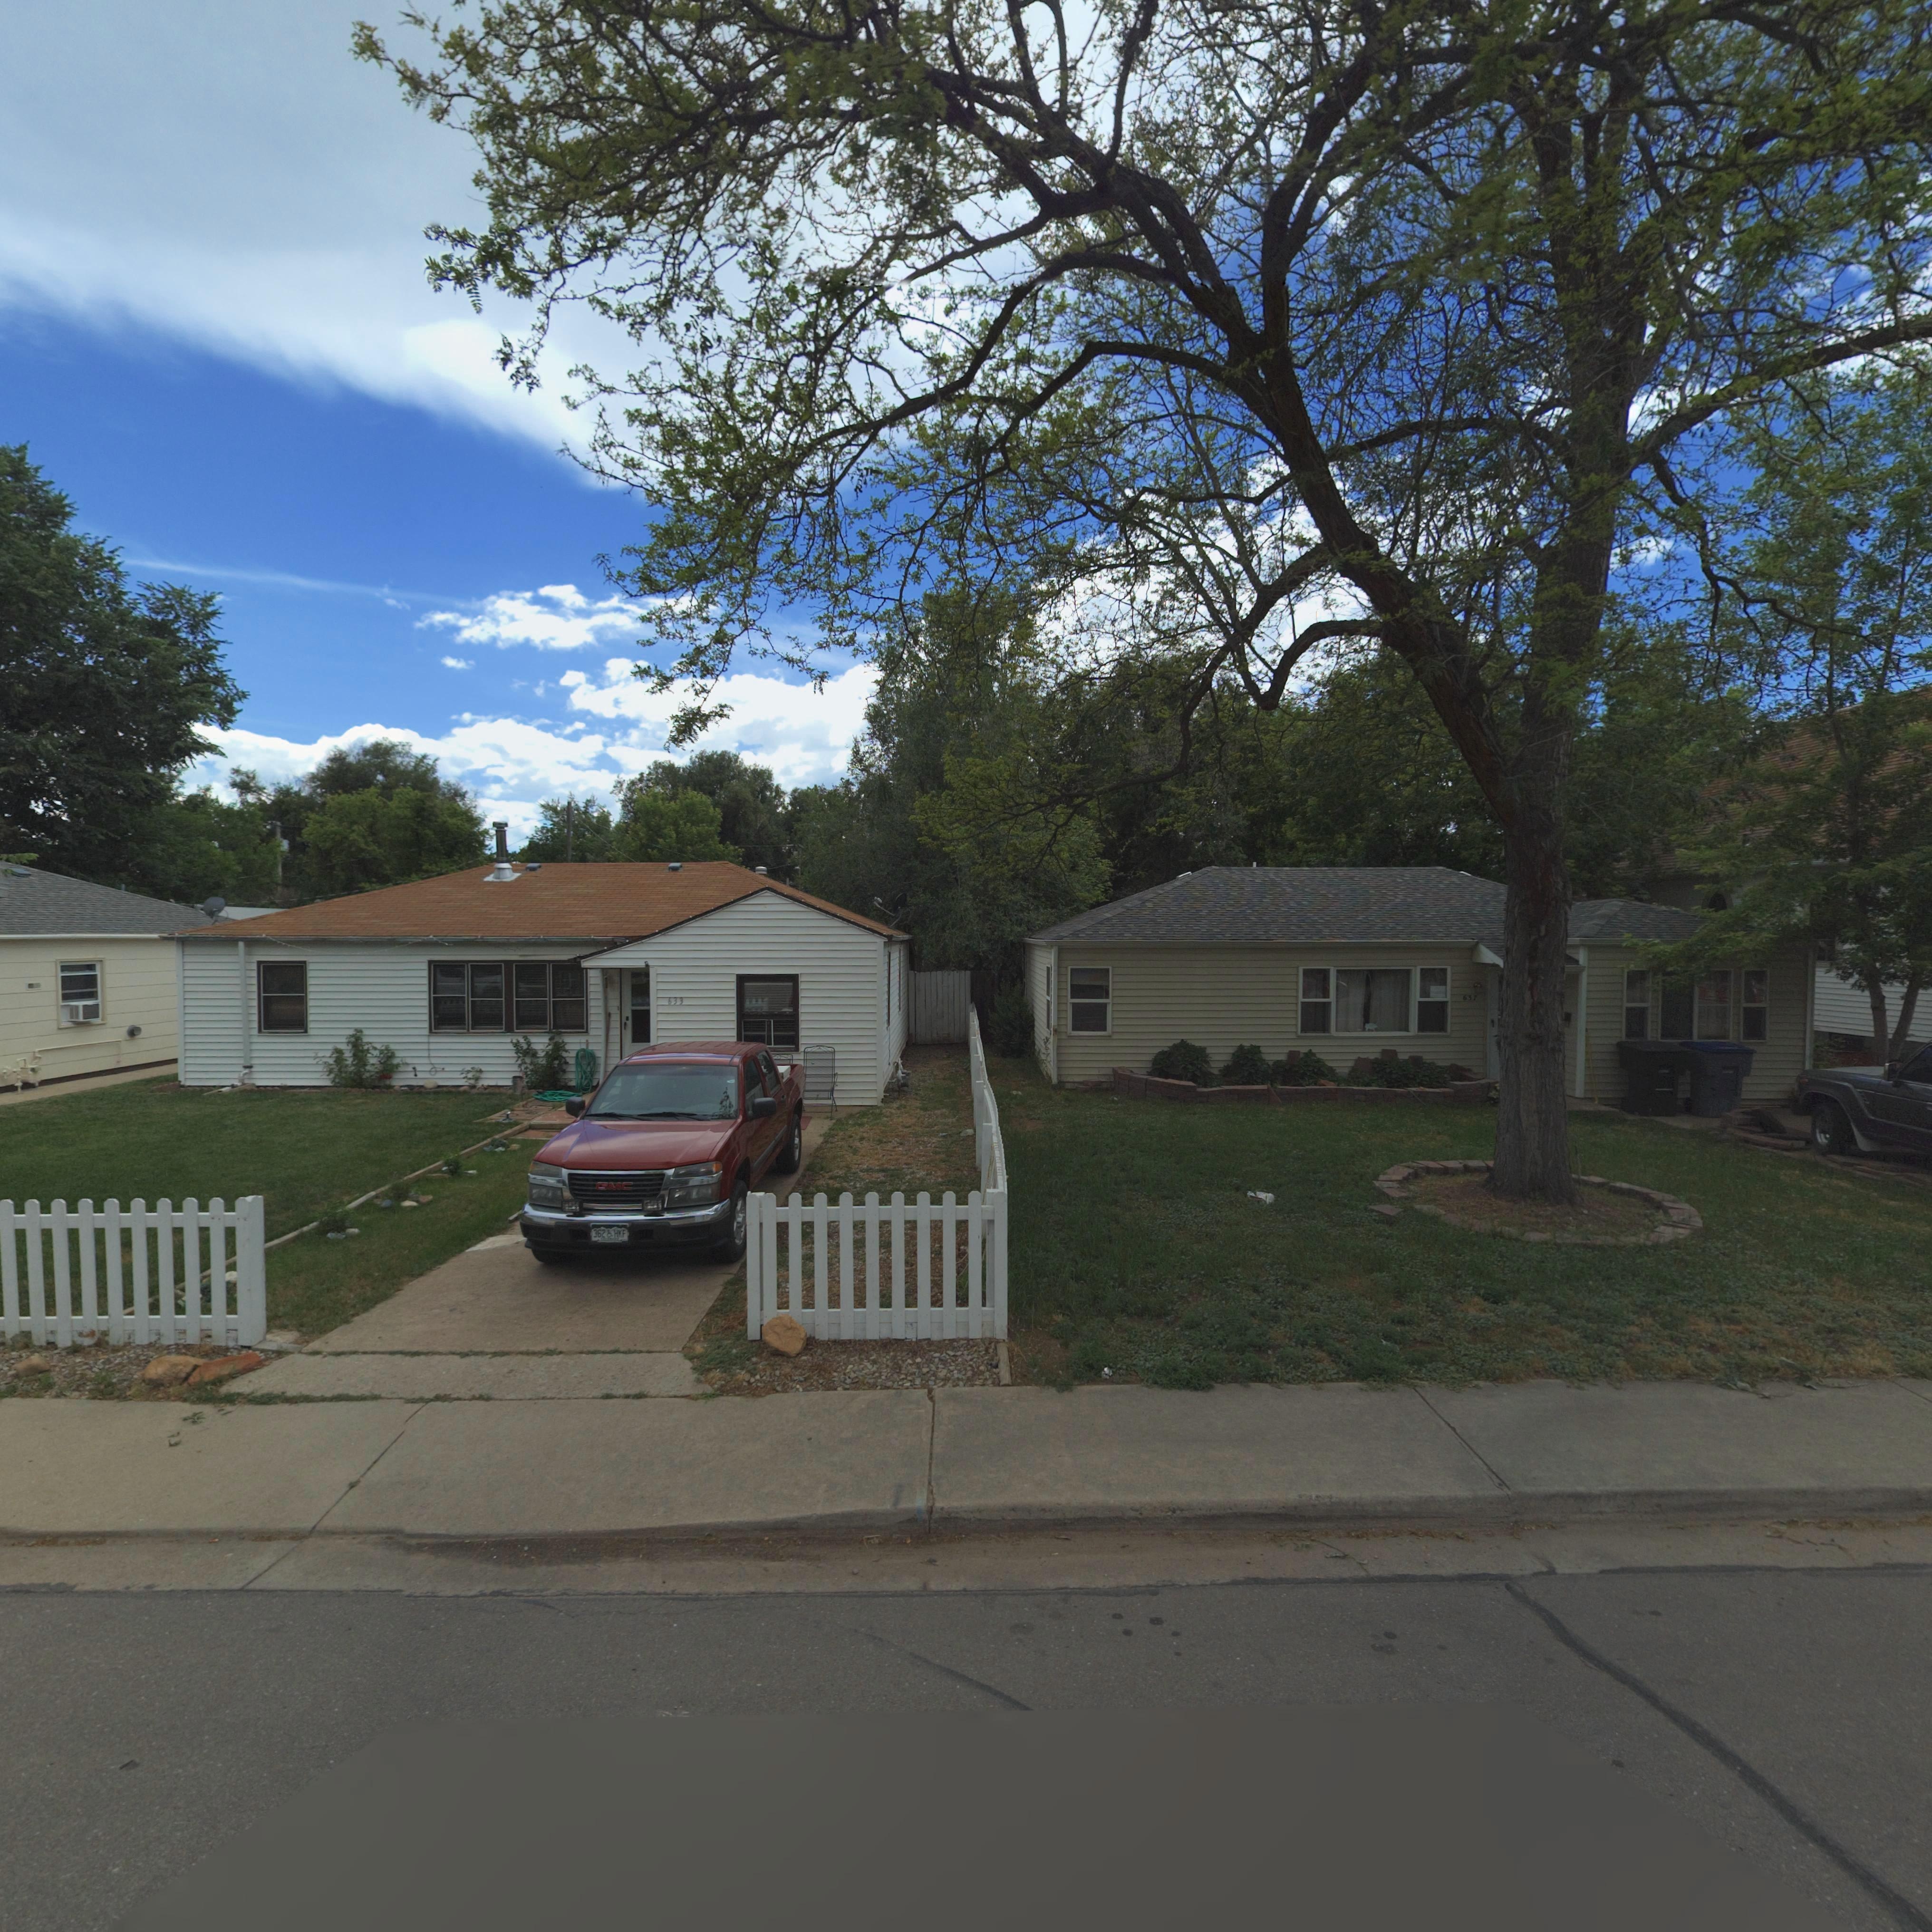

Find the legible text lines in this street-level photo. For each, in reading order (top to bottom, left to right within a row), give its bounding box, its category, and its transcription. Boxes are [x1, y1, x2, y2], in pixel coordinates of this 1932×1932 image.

[667, 997, 684, 1005] StreetNumber: 633
[1463, 995, 1478, 1000] StreetNumber: 637